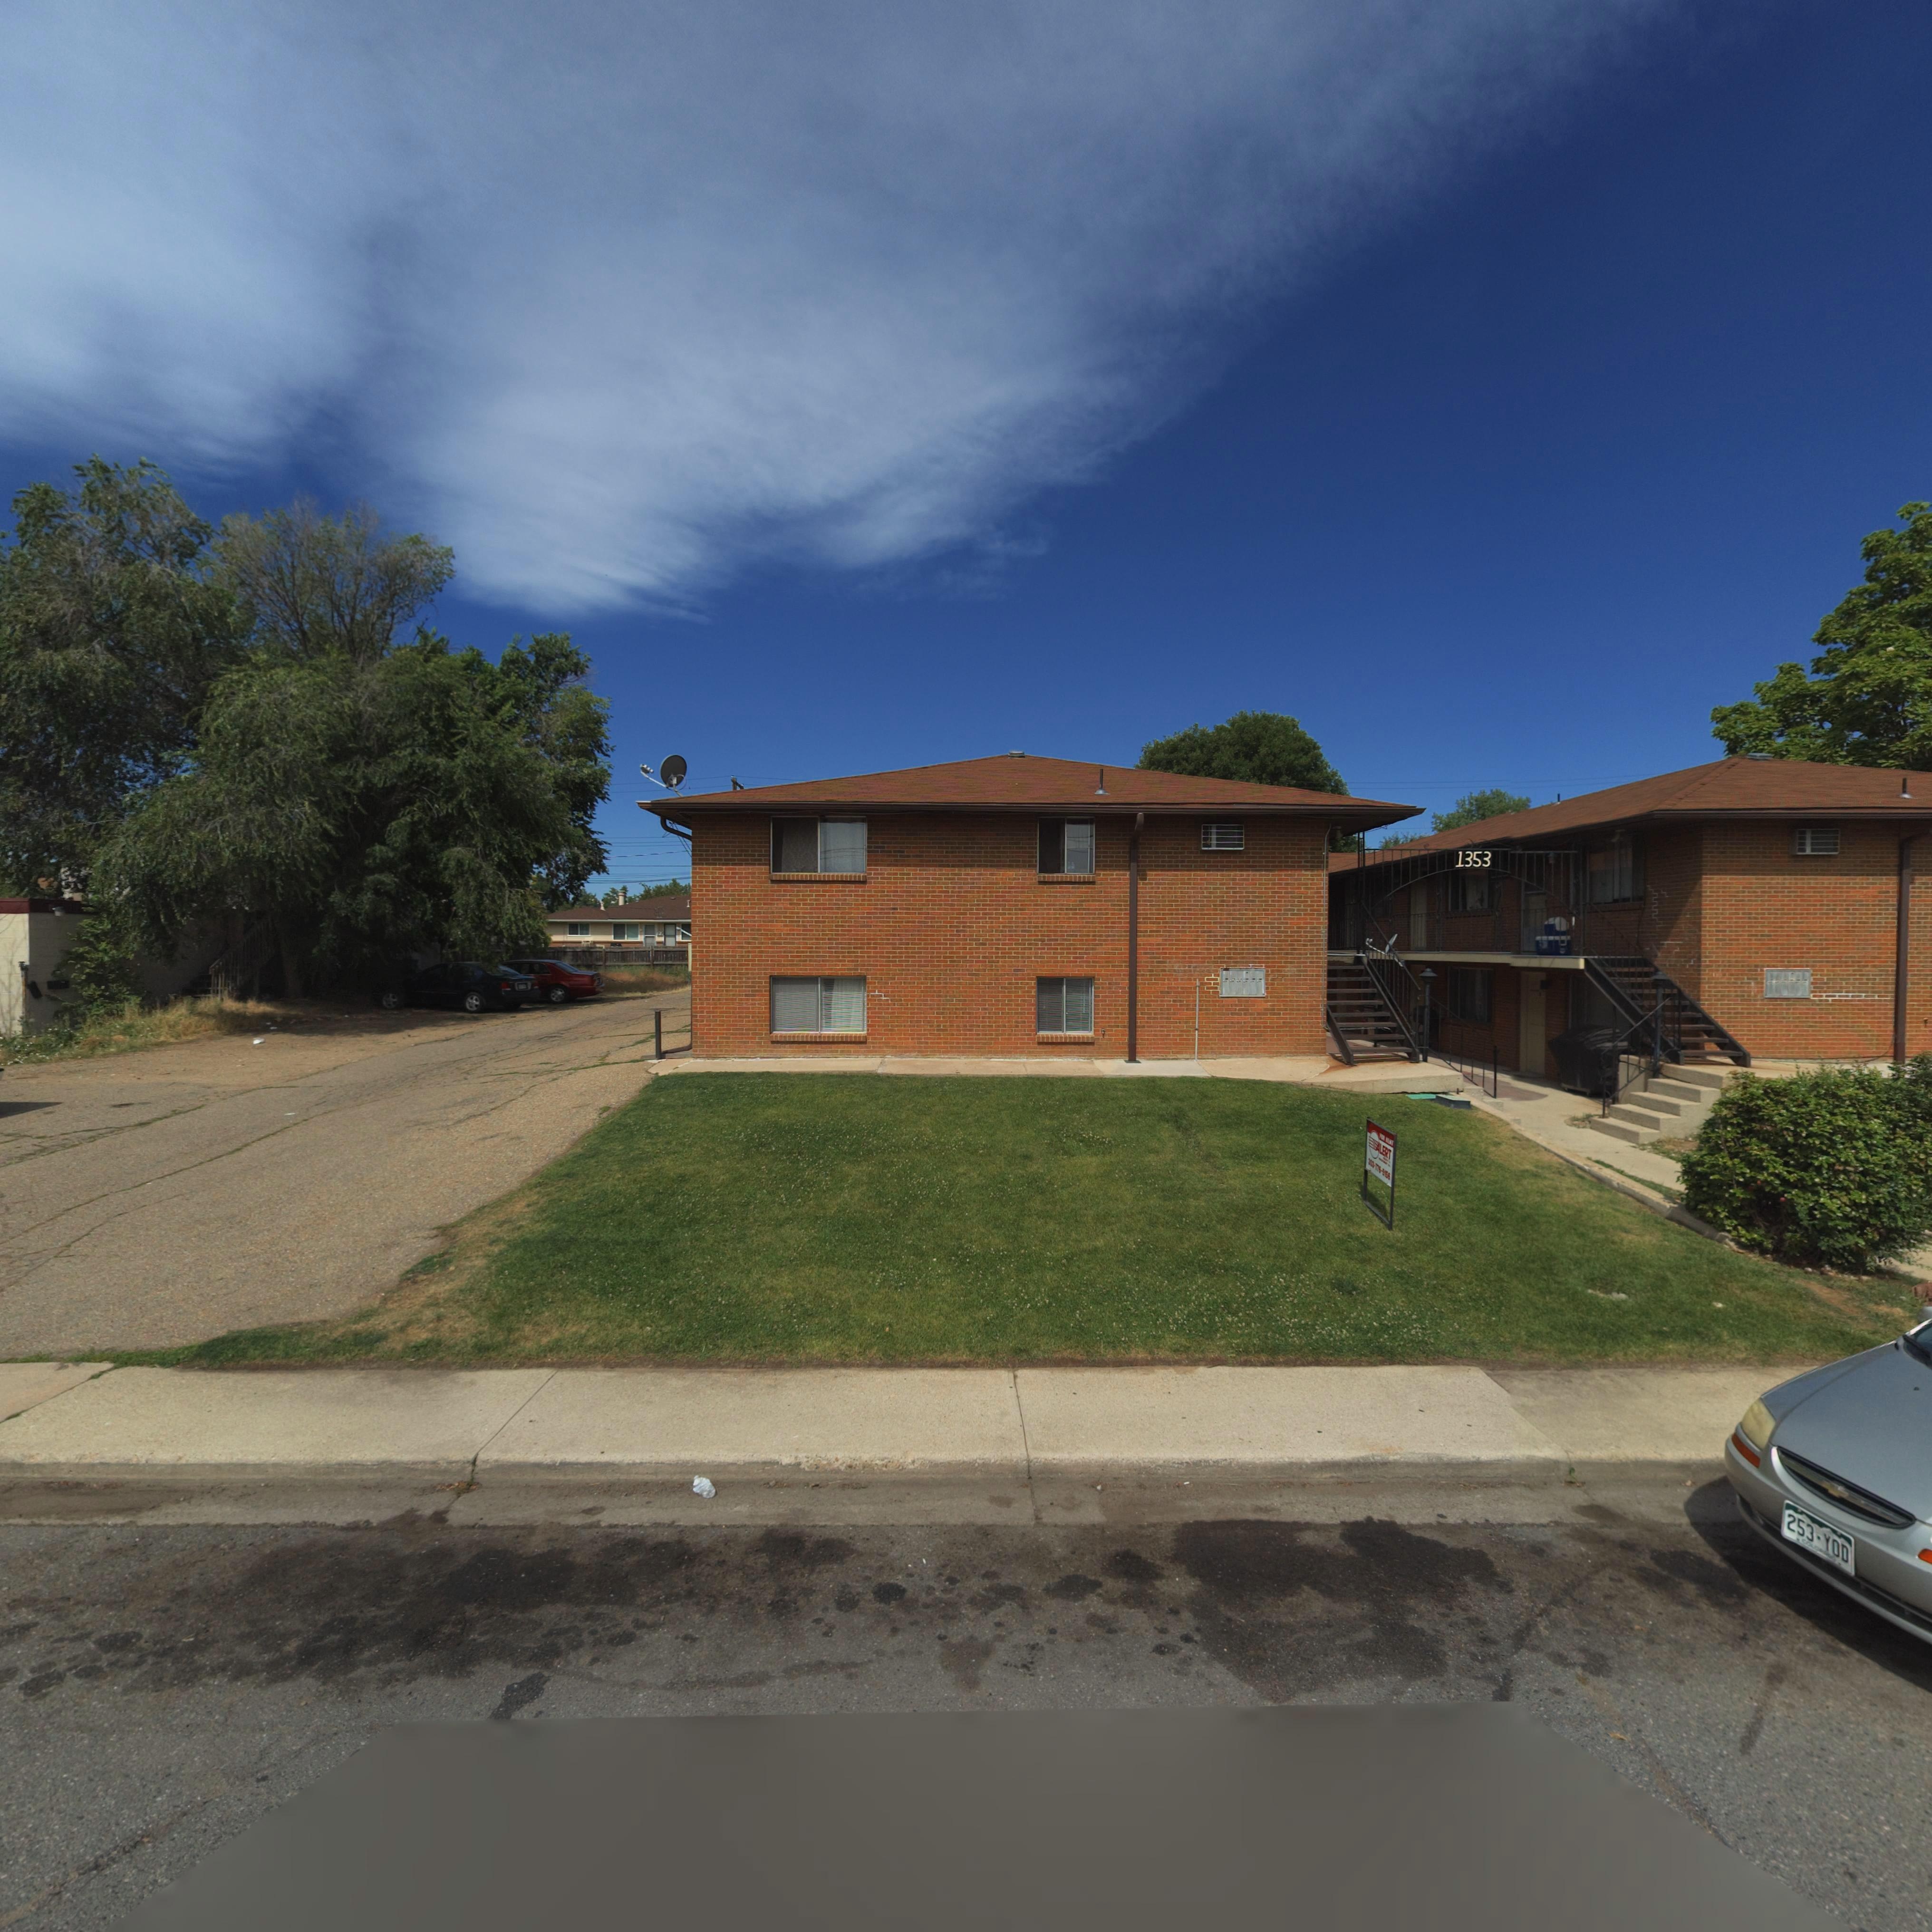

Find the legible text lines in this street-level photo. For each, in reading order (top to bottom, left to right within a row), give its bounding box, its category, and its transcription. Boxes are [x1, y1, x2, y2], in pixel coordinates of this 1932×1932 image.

[1455, 850, 1492, 868] StreetNumber: 1353